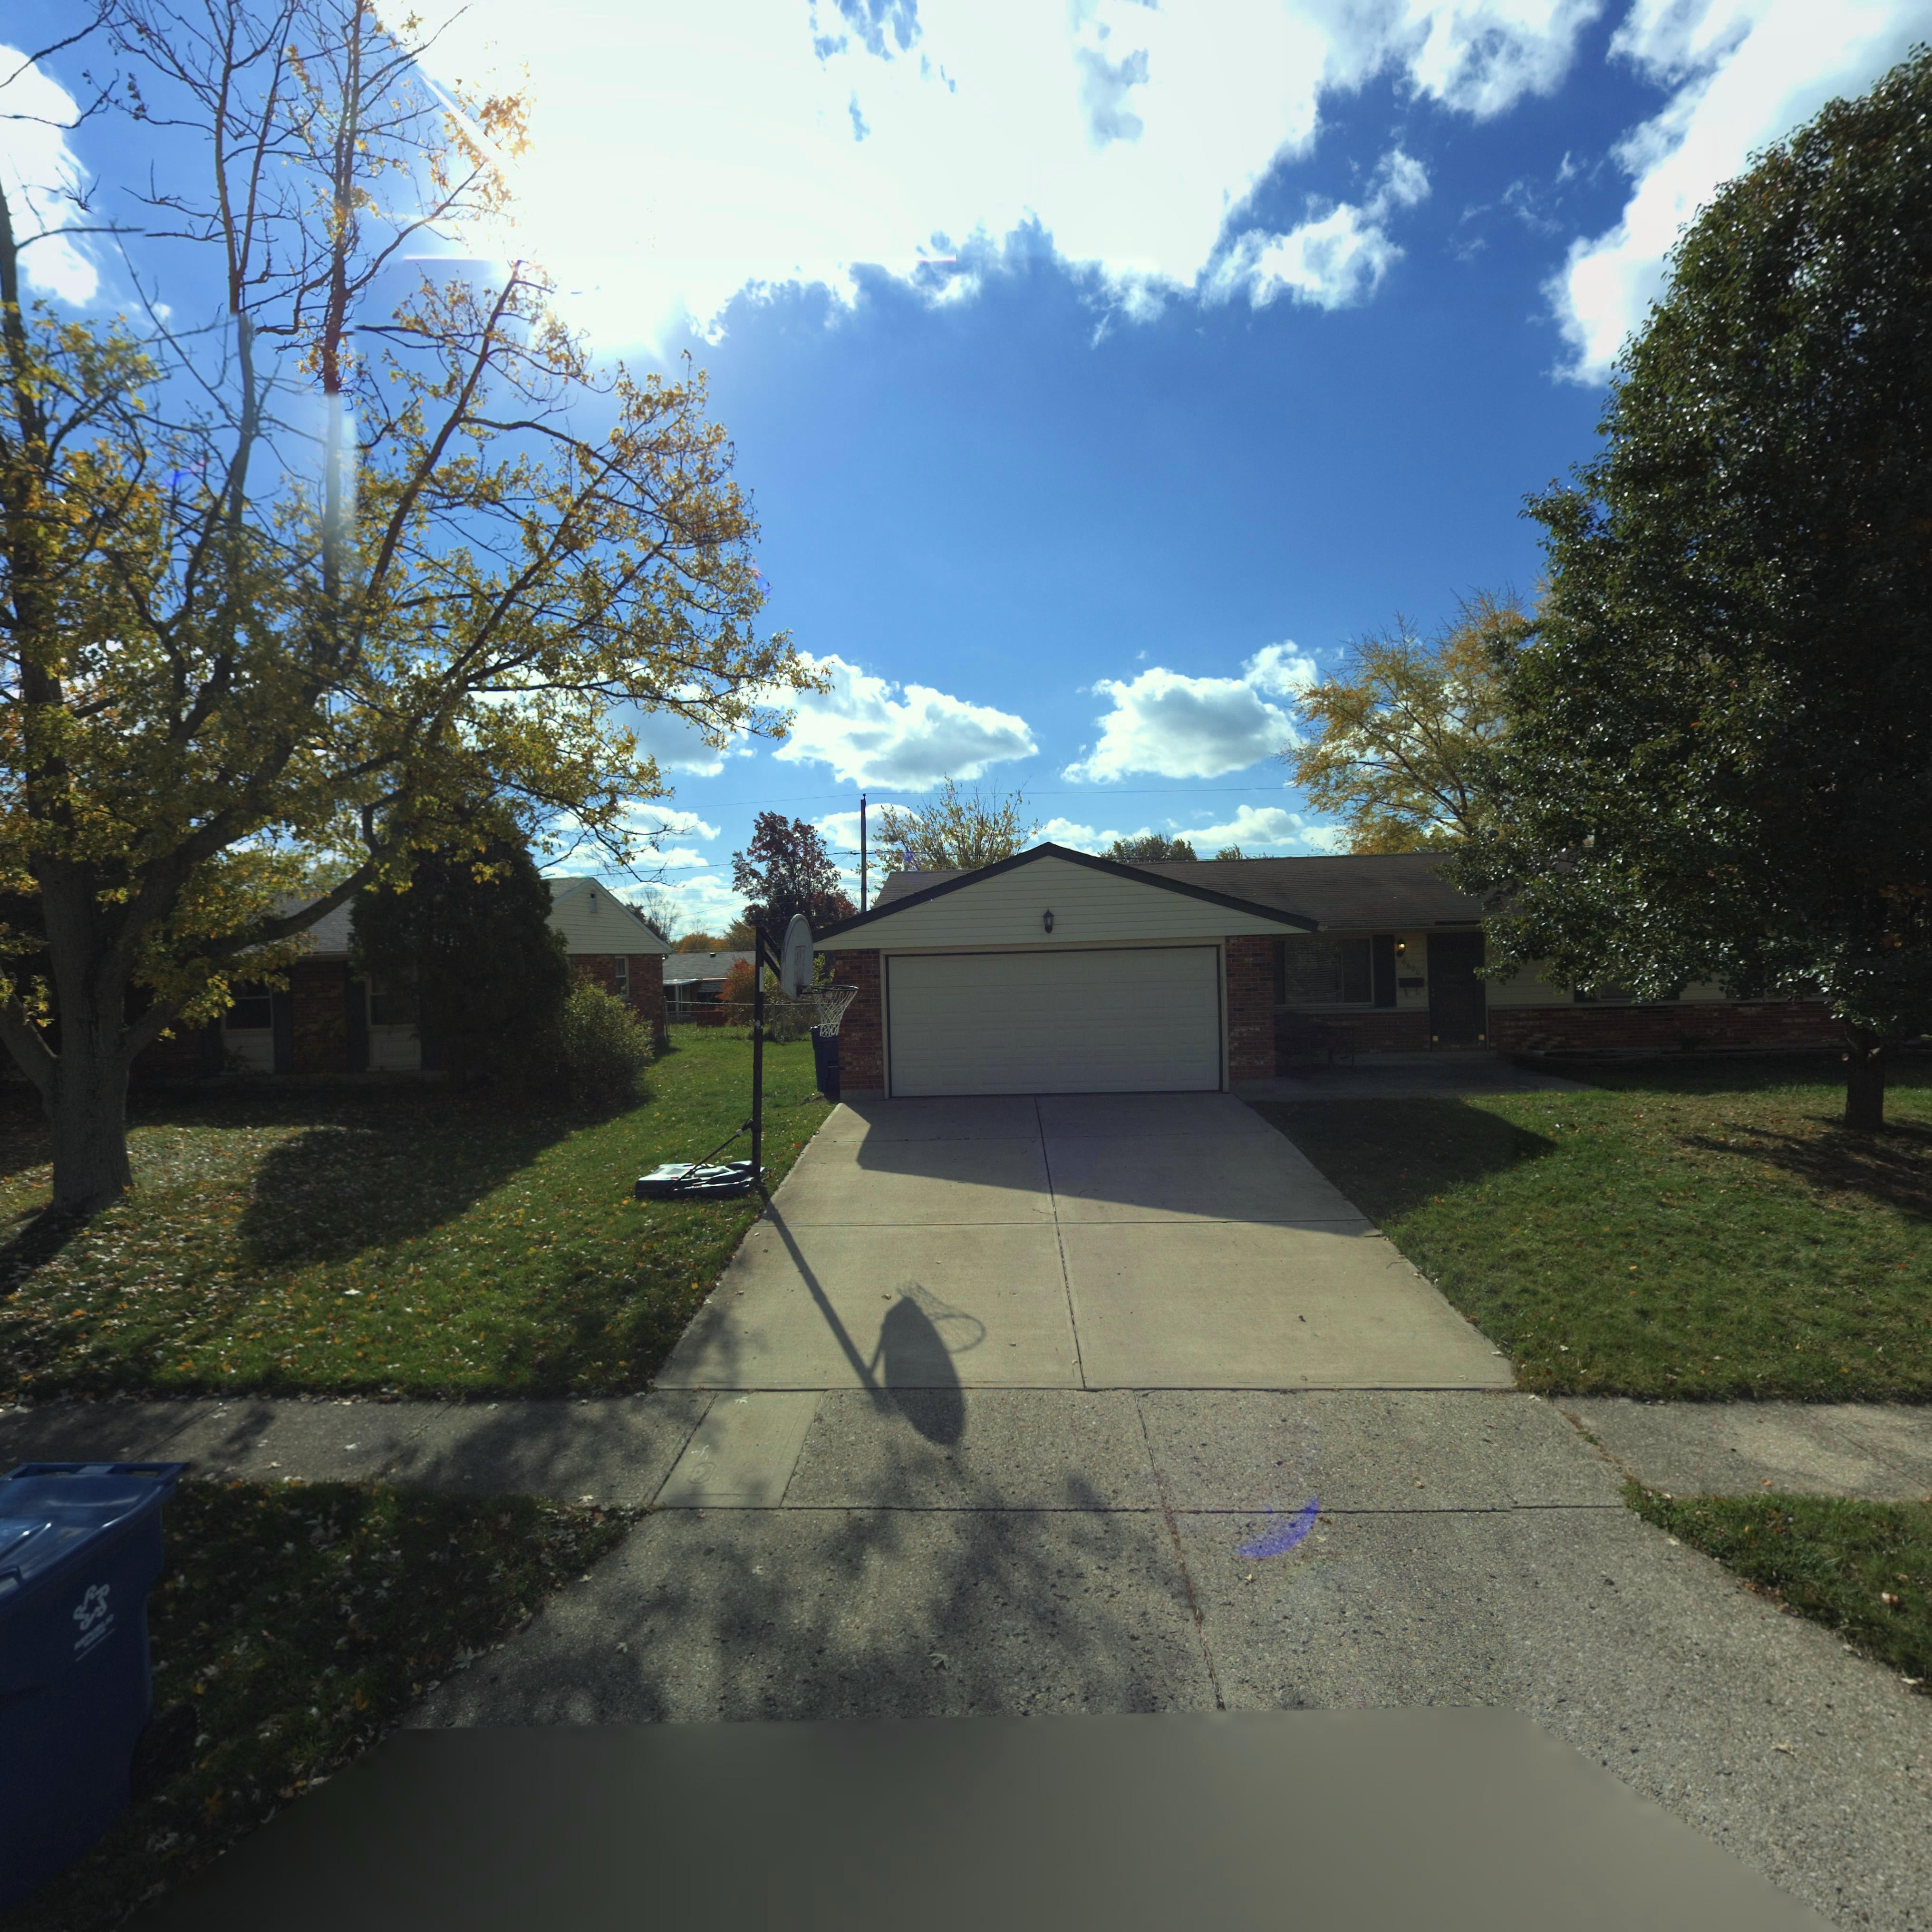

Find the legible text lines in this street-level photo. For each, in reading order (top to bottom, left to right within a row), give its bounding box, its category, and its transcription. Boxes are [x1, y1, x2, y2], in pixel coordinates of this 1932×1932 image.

[1401, 957, 1421, 976] StreetNumber: 6600